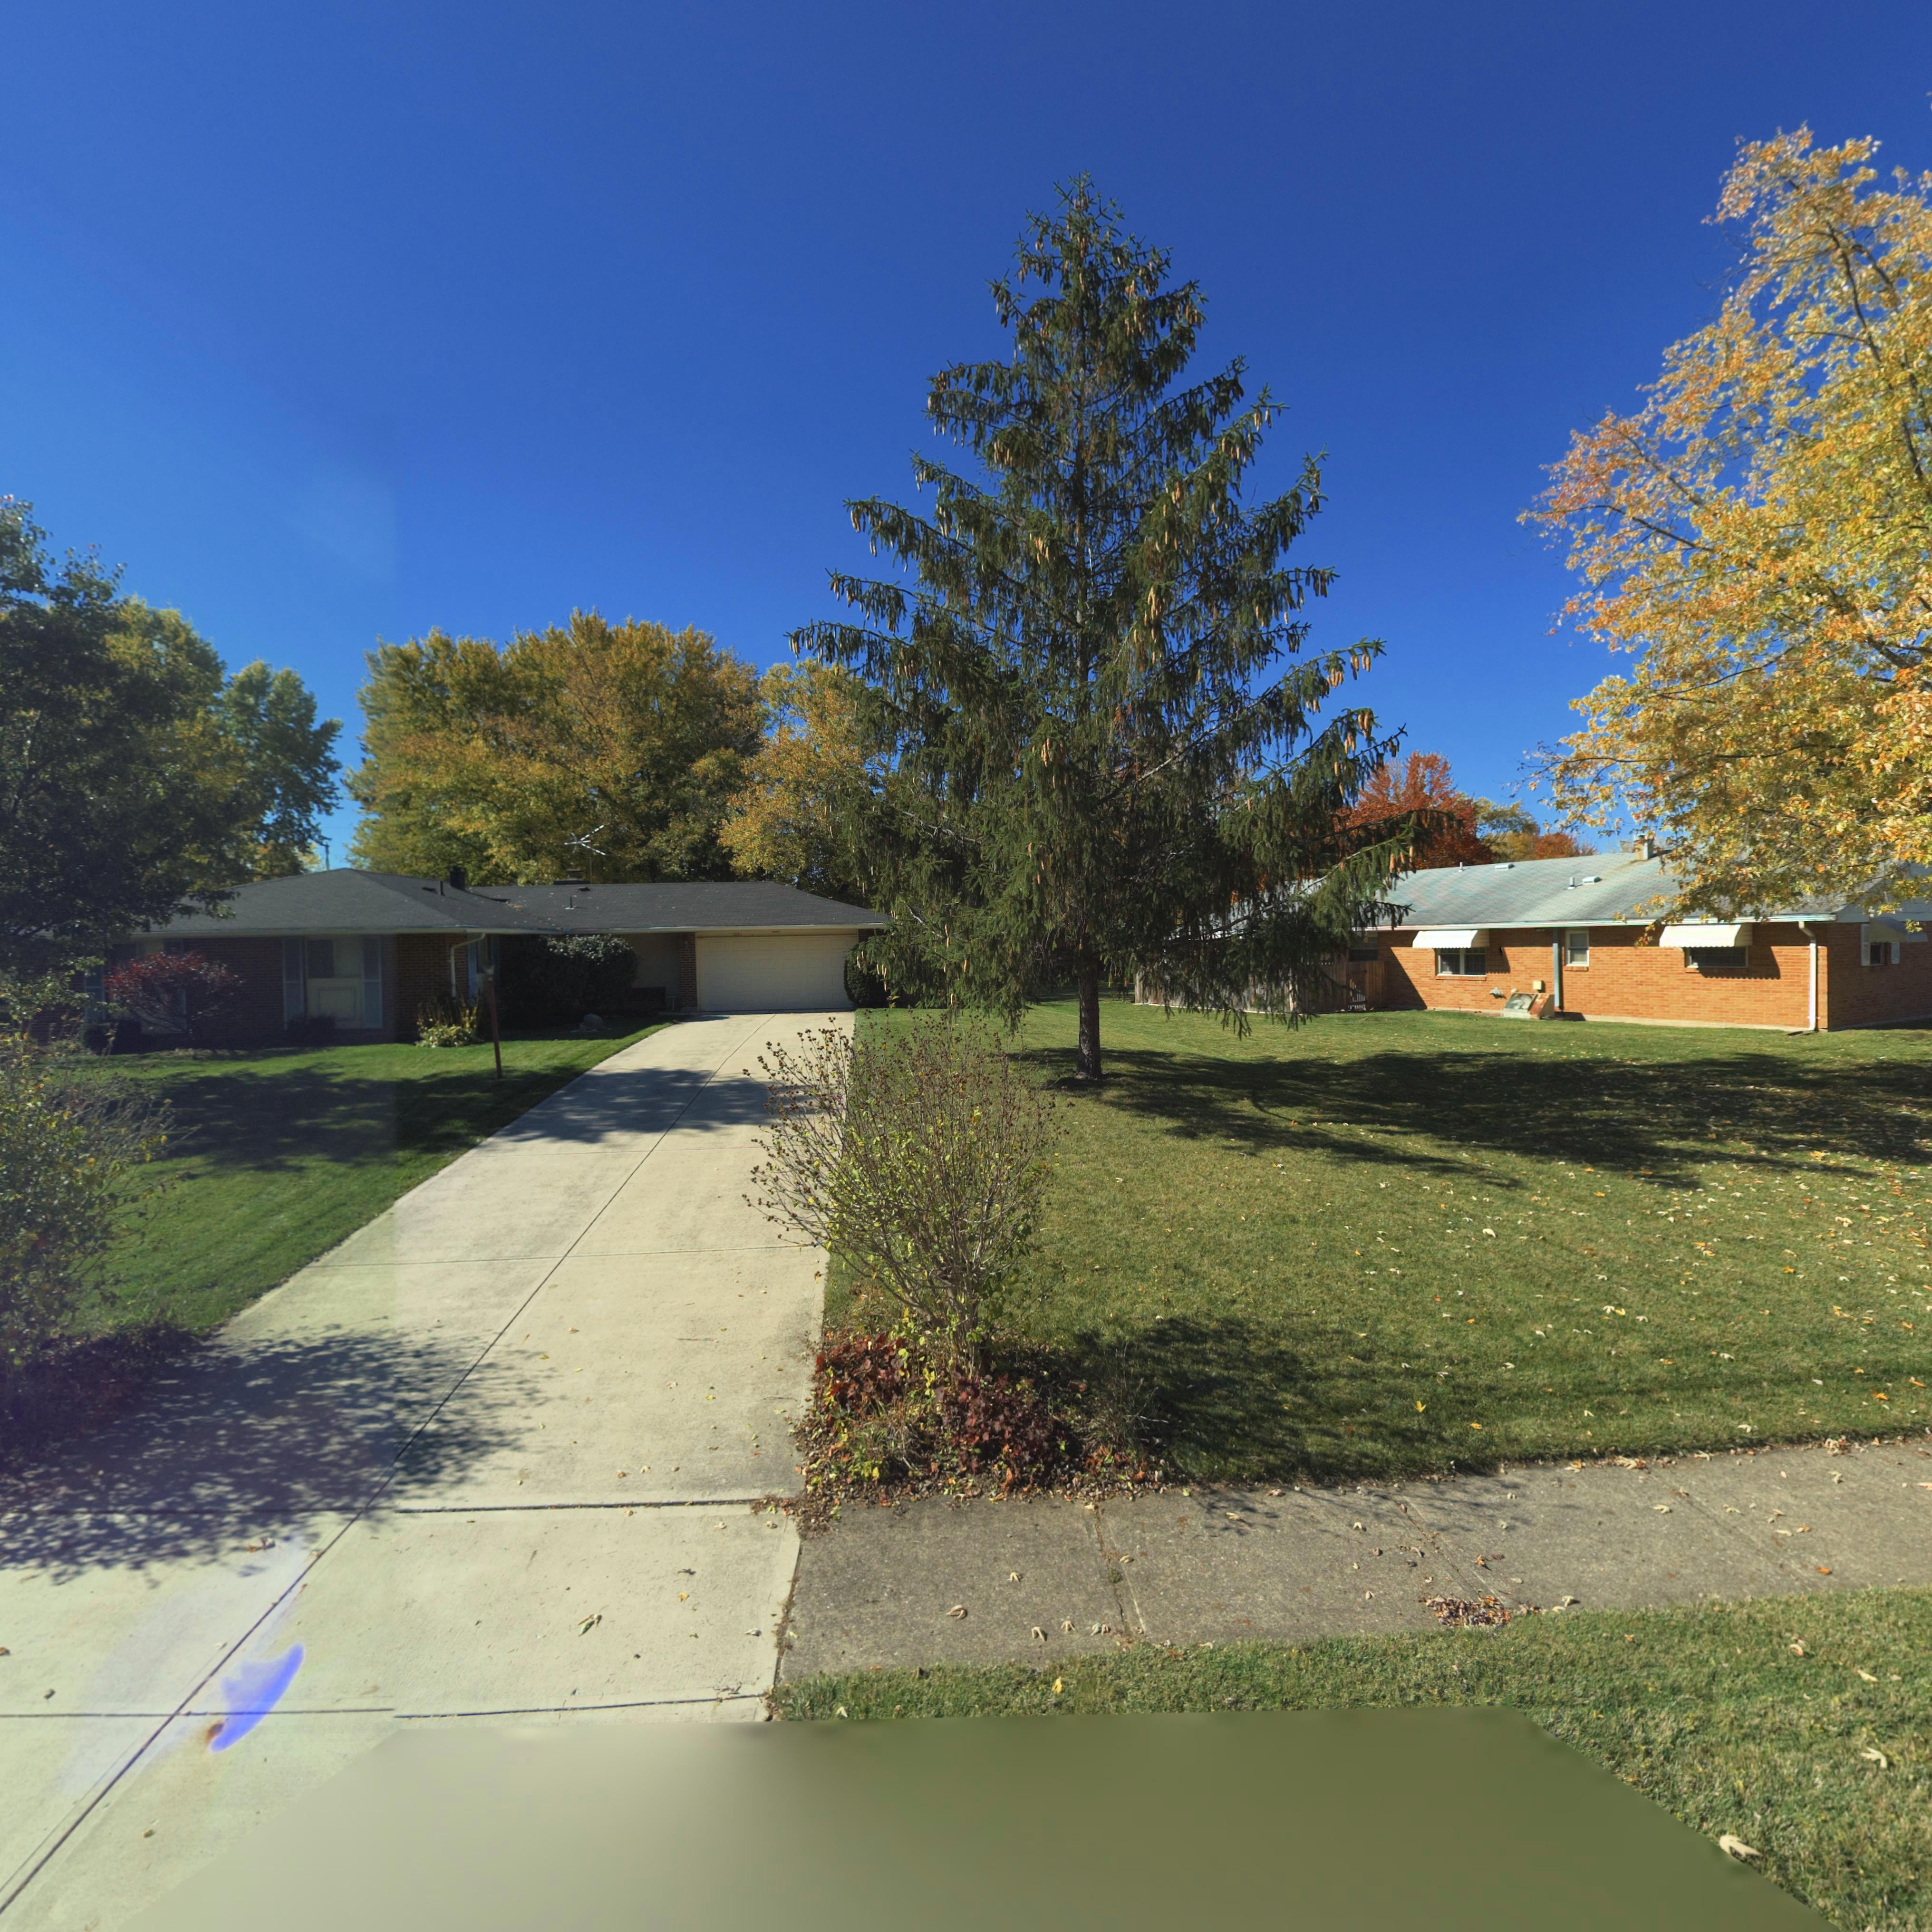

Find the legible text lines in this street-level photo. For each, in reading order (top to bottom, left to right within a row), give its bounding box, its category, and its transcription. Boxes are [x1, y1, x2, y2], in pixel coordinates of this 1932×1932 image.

[732, 932, 743, 937] StreetNumber: *0**